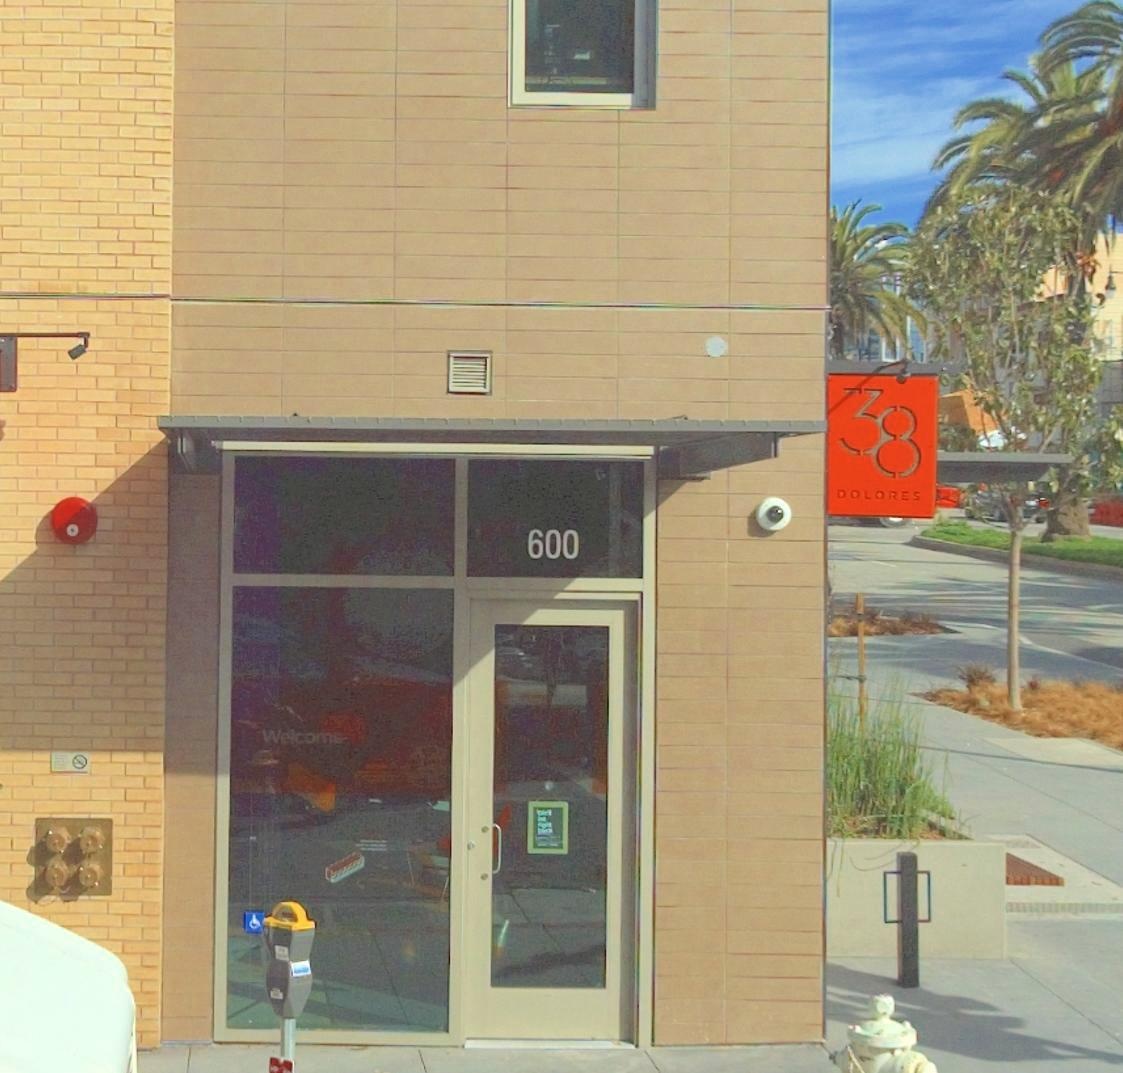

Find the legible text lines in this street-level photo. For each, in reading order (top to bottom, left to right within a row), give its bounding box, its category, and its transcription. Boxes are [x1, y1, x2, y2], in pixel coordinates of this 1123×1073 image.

[835, 486, 924, 504] None: DOLORES
[525, 526, 581, 562] StreetNumber: 600
[260, 726, 345, 746] None: Welcome